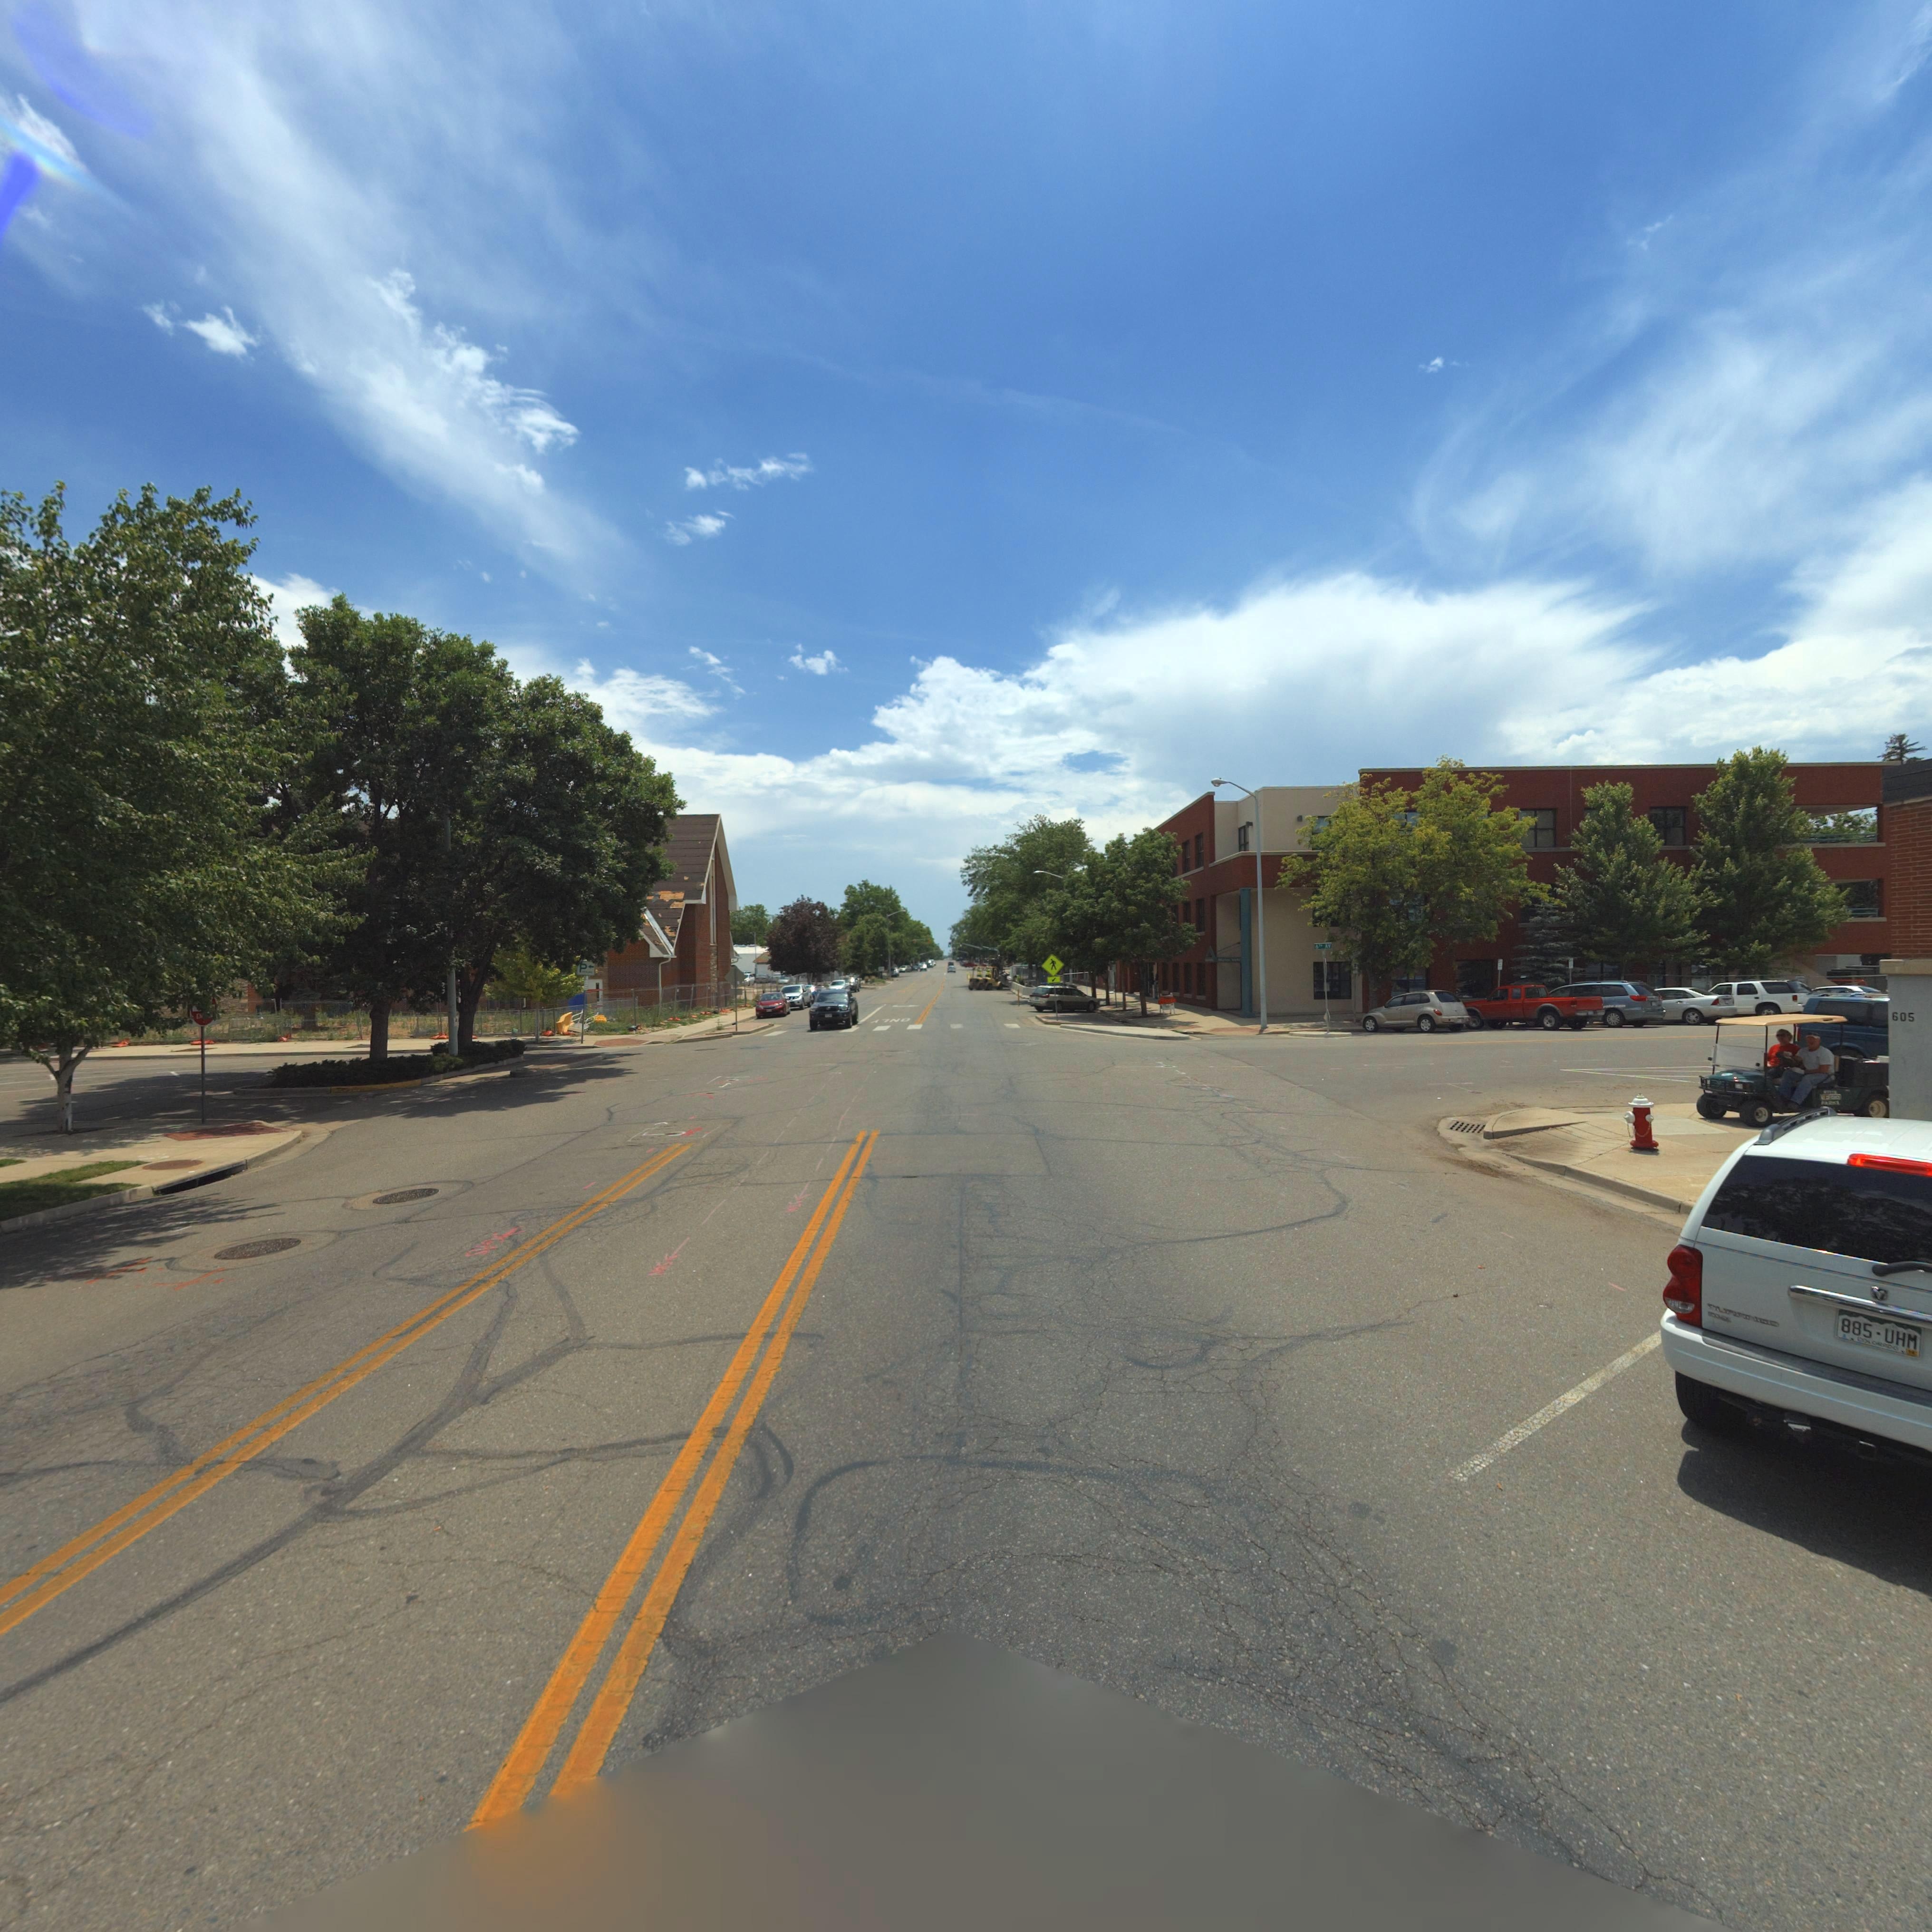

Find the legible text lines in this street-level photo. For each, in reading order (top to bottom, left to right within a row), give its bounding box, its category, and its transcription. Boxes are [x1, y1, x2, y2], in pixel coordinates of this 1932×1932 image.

[1315, 944, 1331, 948] StreetName: 6TH AV